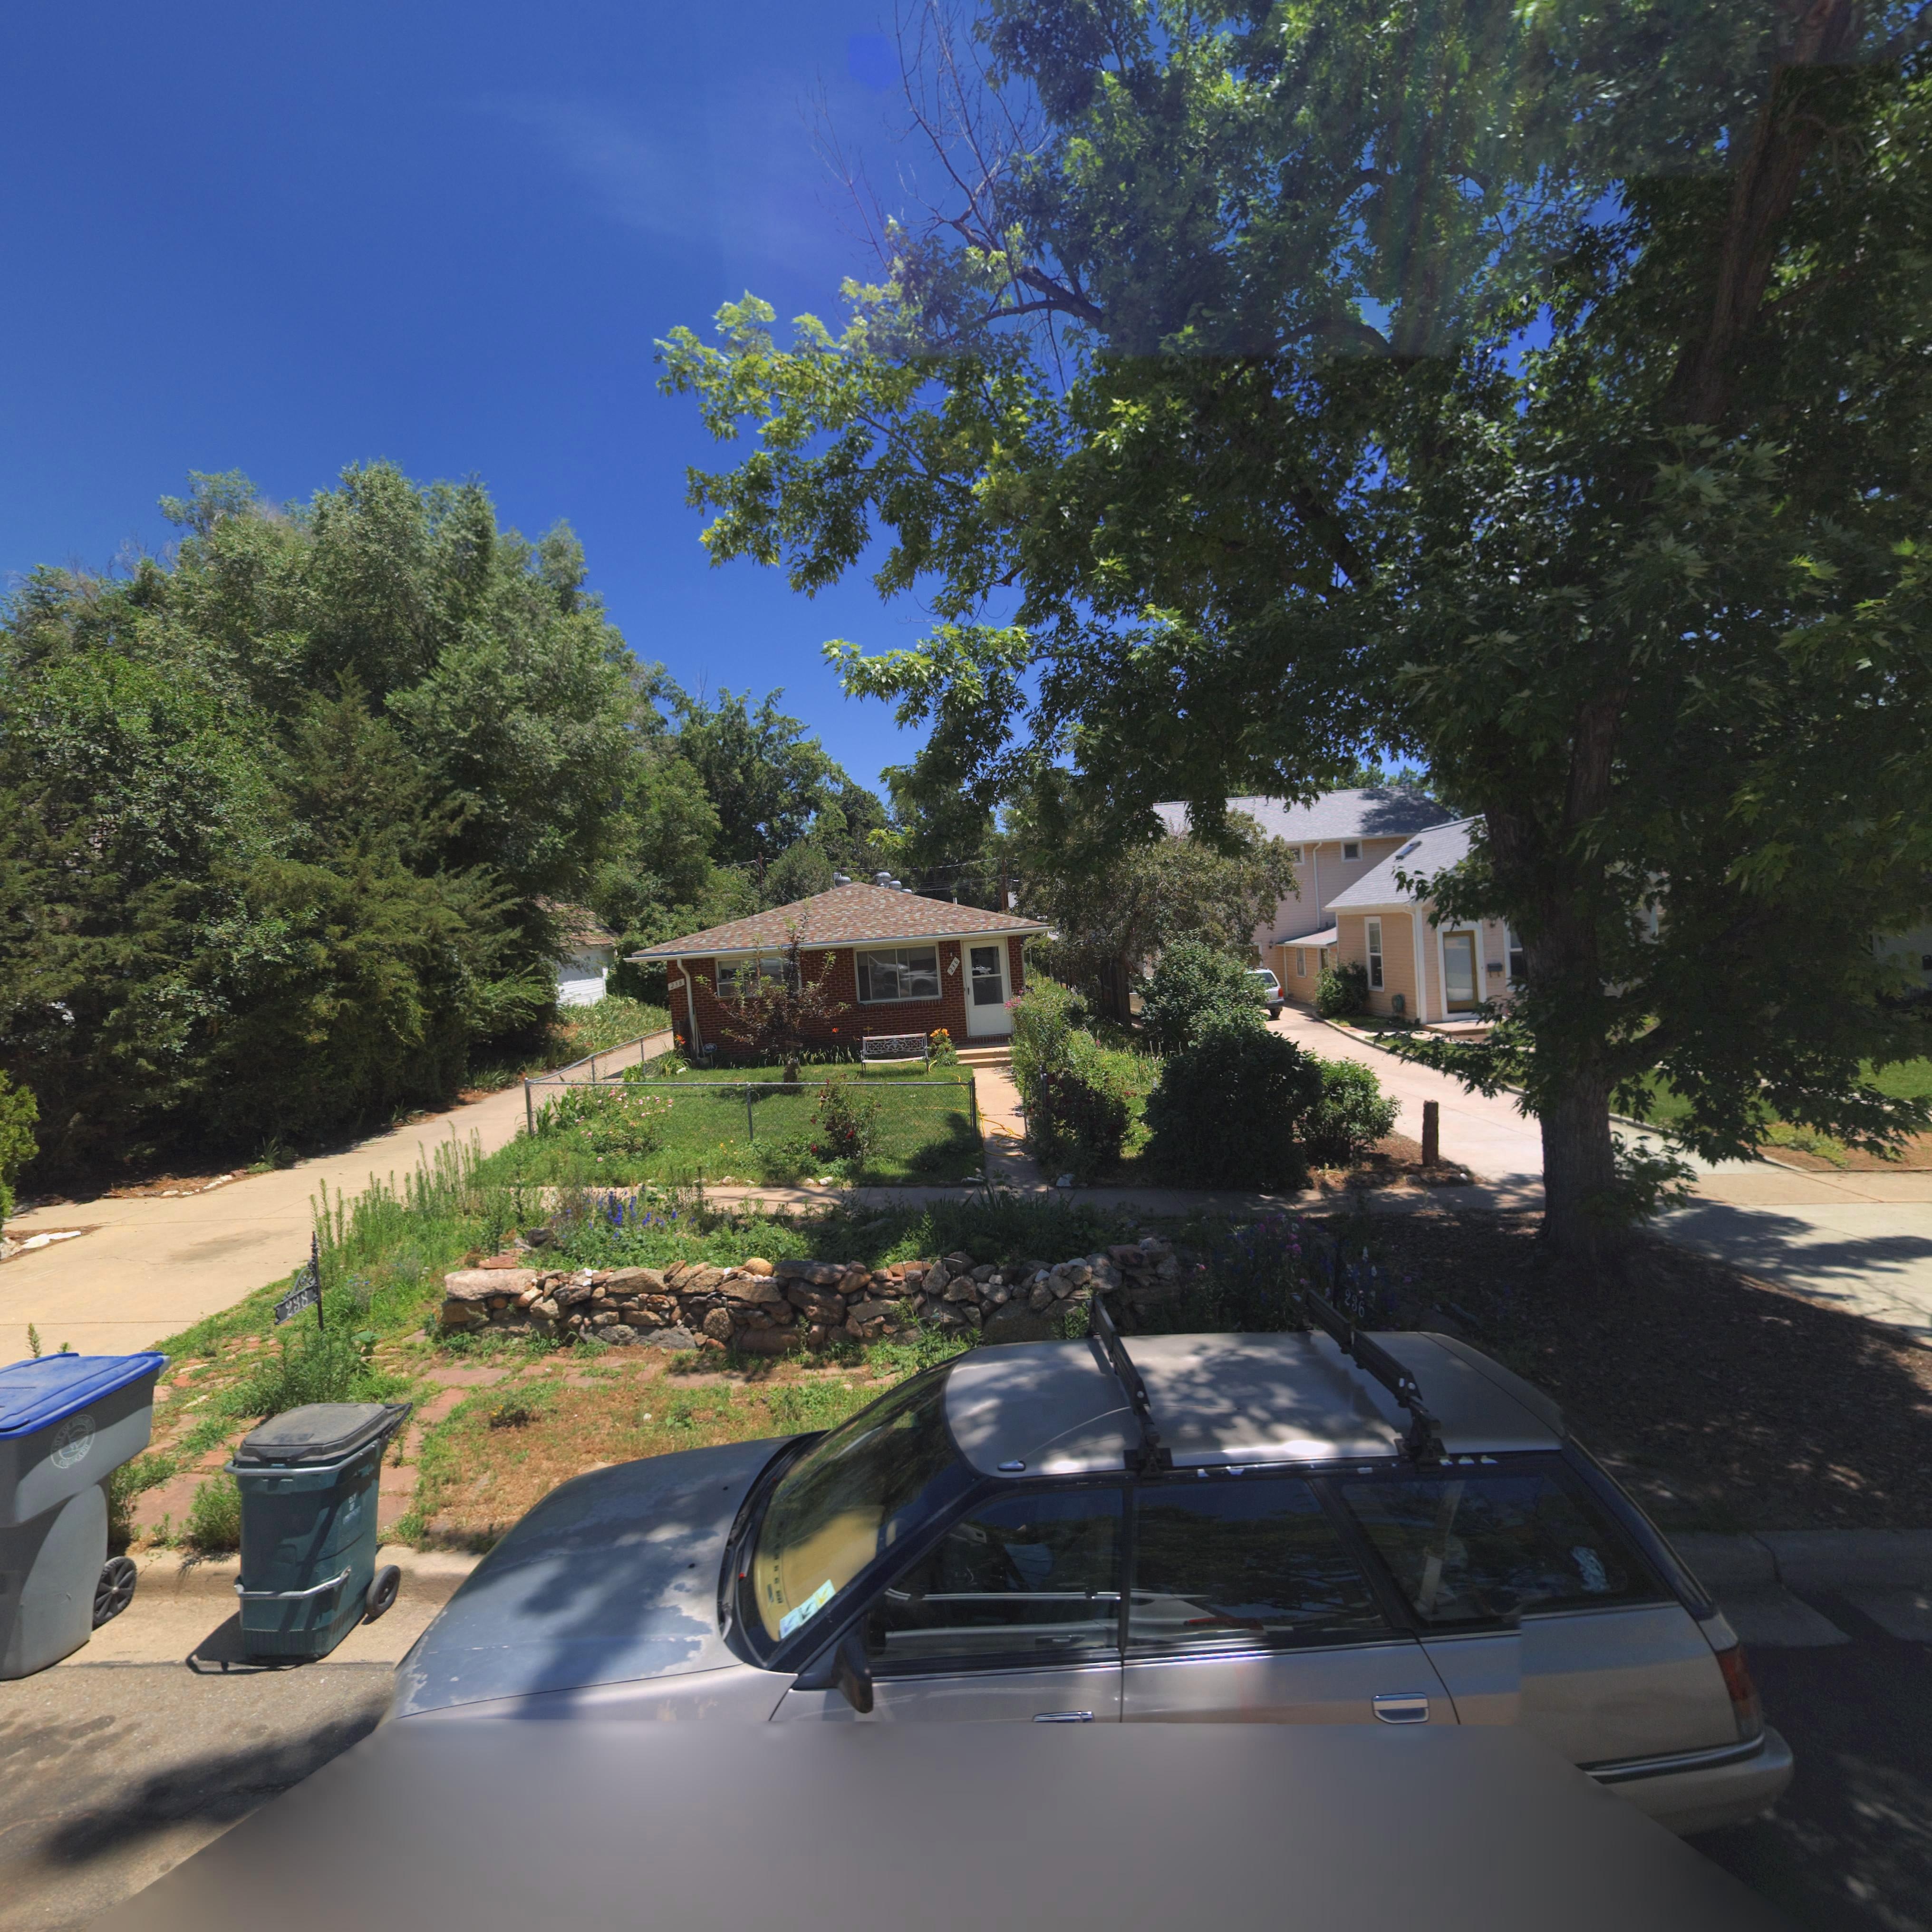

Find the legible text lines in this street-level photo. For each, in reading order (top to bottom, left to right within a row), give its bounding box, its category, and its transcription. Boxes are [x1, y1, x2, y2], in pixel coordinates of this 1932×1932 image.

[948, 958, 958, 973] StreetNumber: 236
[669, 979, 682, 989] StreetNumber: 238
[284, 1288, 309, 1318] StreetNumber: 238